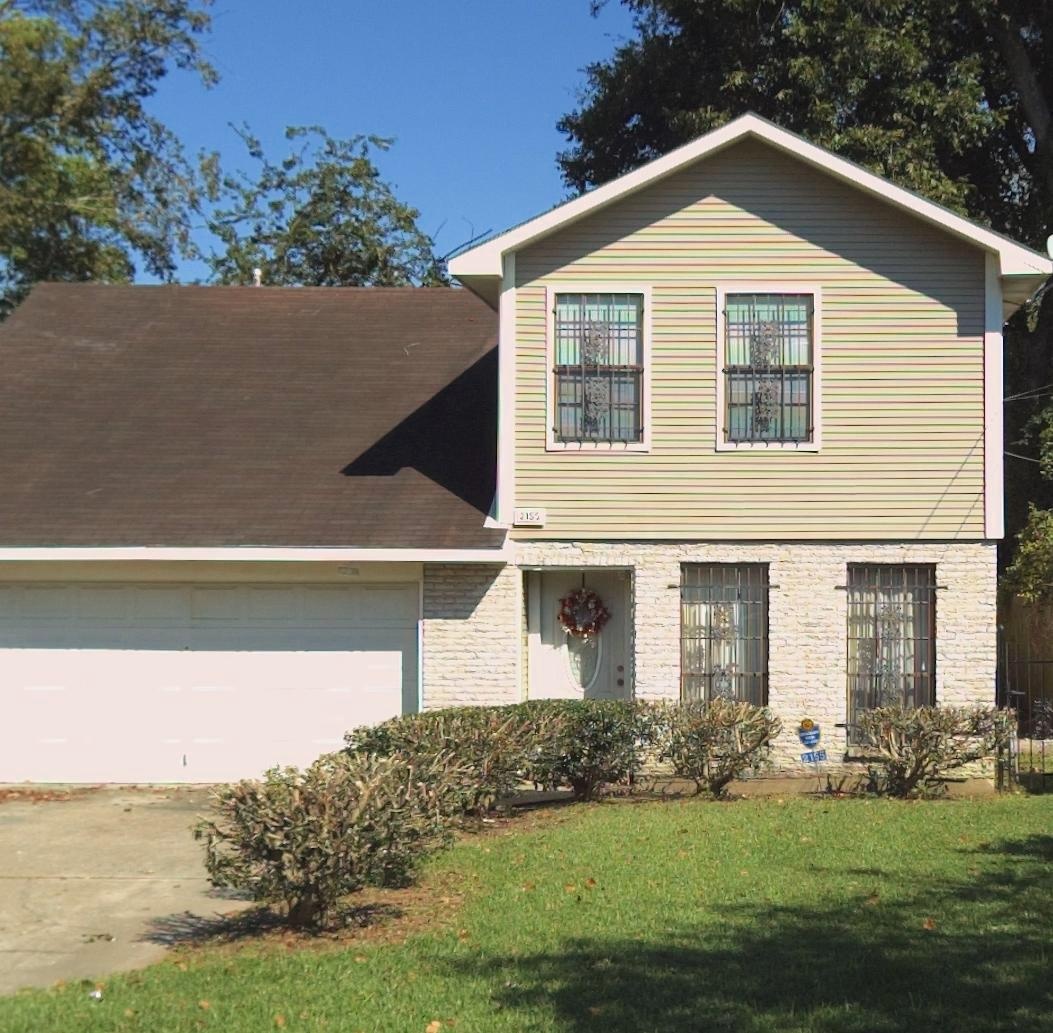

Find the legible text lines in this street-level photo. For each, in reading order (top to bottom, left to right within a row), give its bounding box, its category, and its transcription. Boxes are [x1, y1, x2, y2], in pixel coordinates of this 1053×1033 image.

[517, 509, 542, 522] StreetNumber: 2165
[800, 748, 827, 765] StreetNumber: 2155